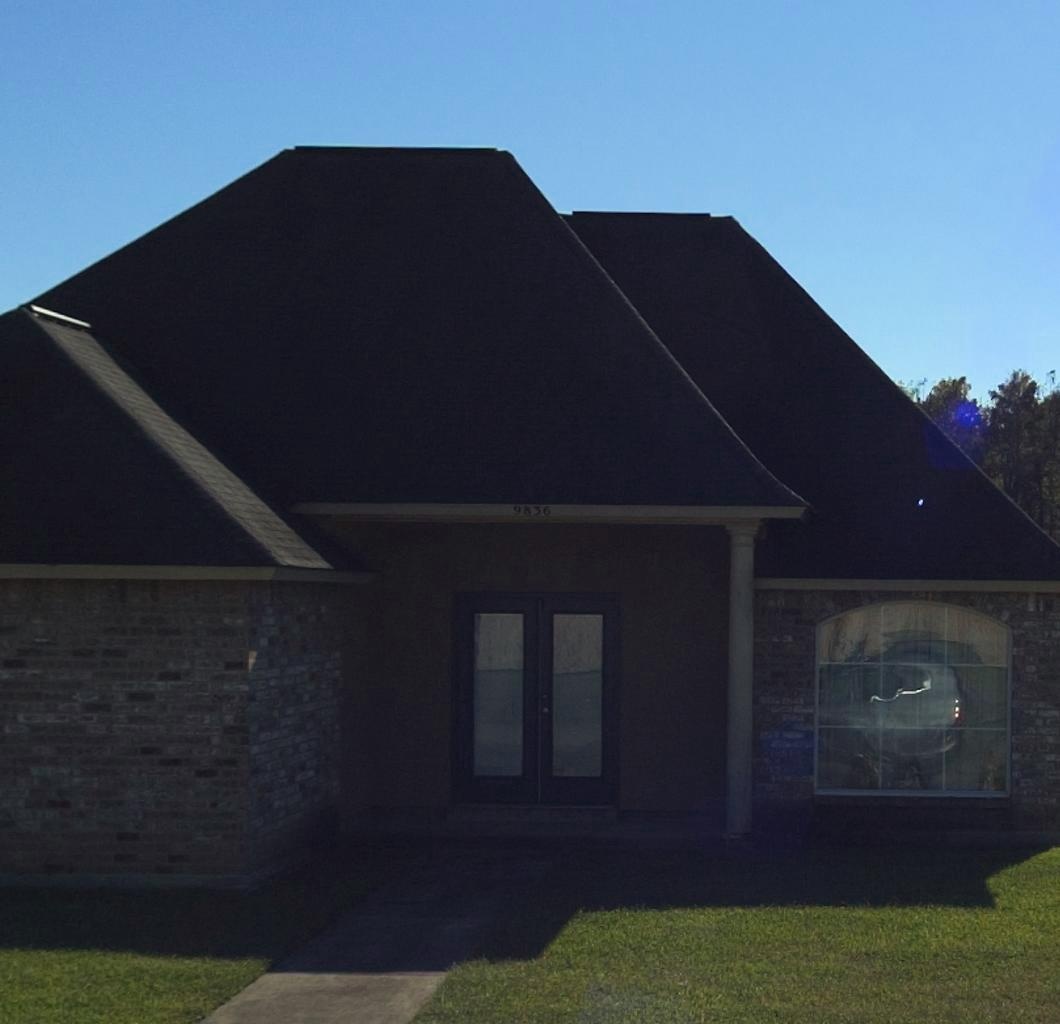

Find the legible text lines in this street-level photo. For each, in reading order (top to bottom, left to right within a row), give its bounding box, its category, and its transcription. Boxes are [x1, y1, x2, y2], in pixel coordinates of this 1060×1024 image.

[513, 504, 553, 516] StreetNumber: 9836